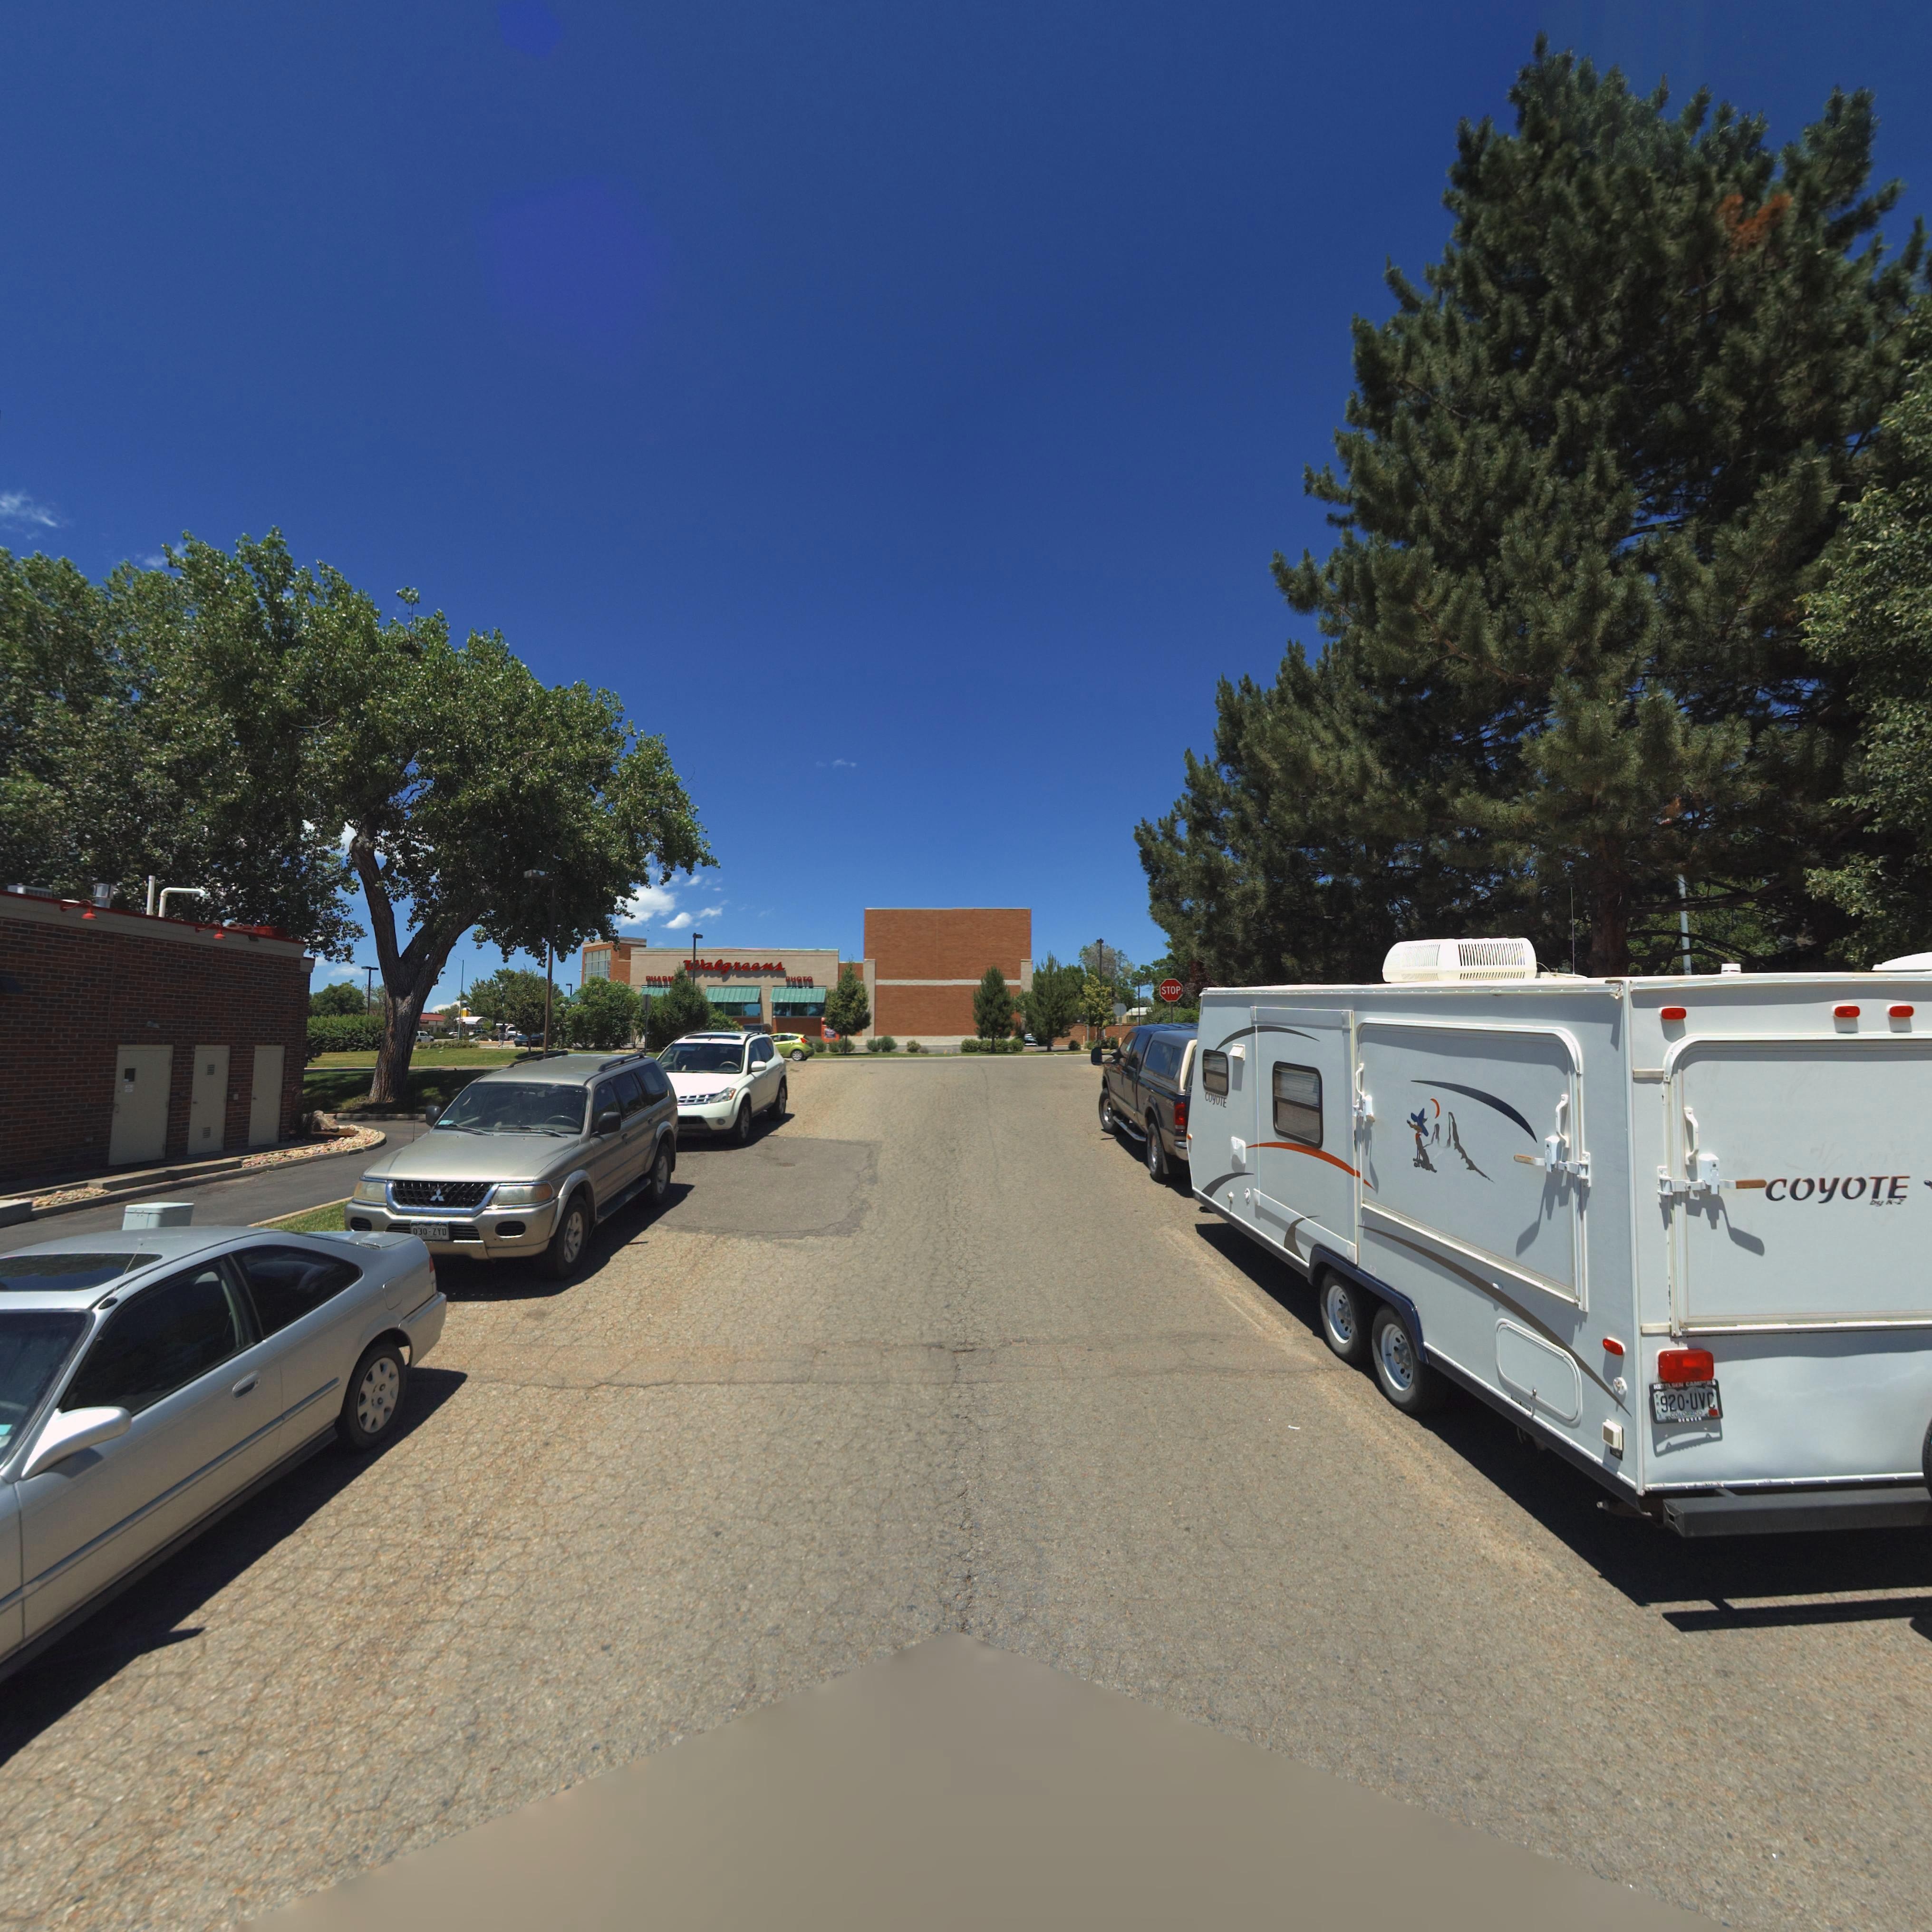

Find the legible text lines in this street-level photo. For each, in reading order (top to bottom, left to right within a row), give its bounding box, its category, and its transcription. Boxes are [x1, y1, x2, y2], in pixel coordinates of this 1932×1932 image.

[682, 958, 785, 975] BusinessName: algreens